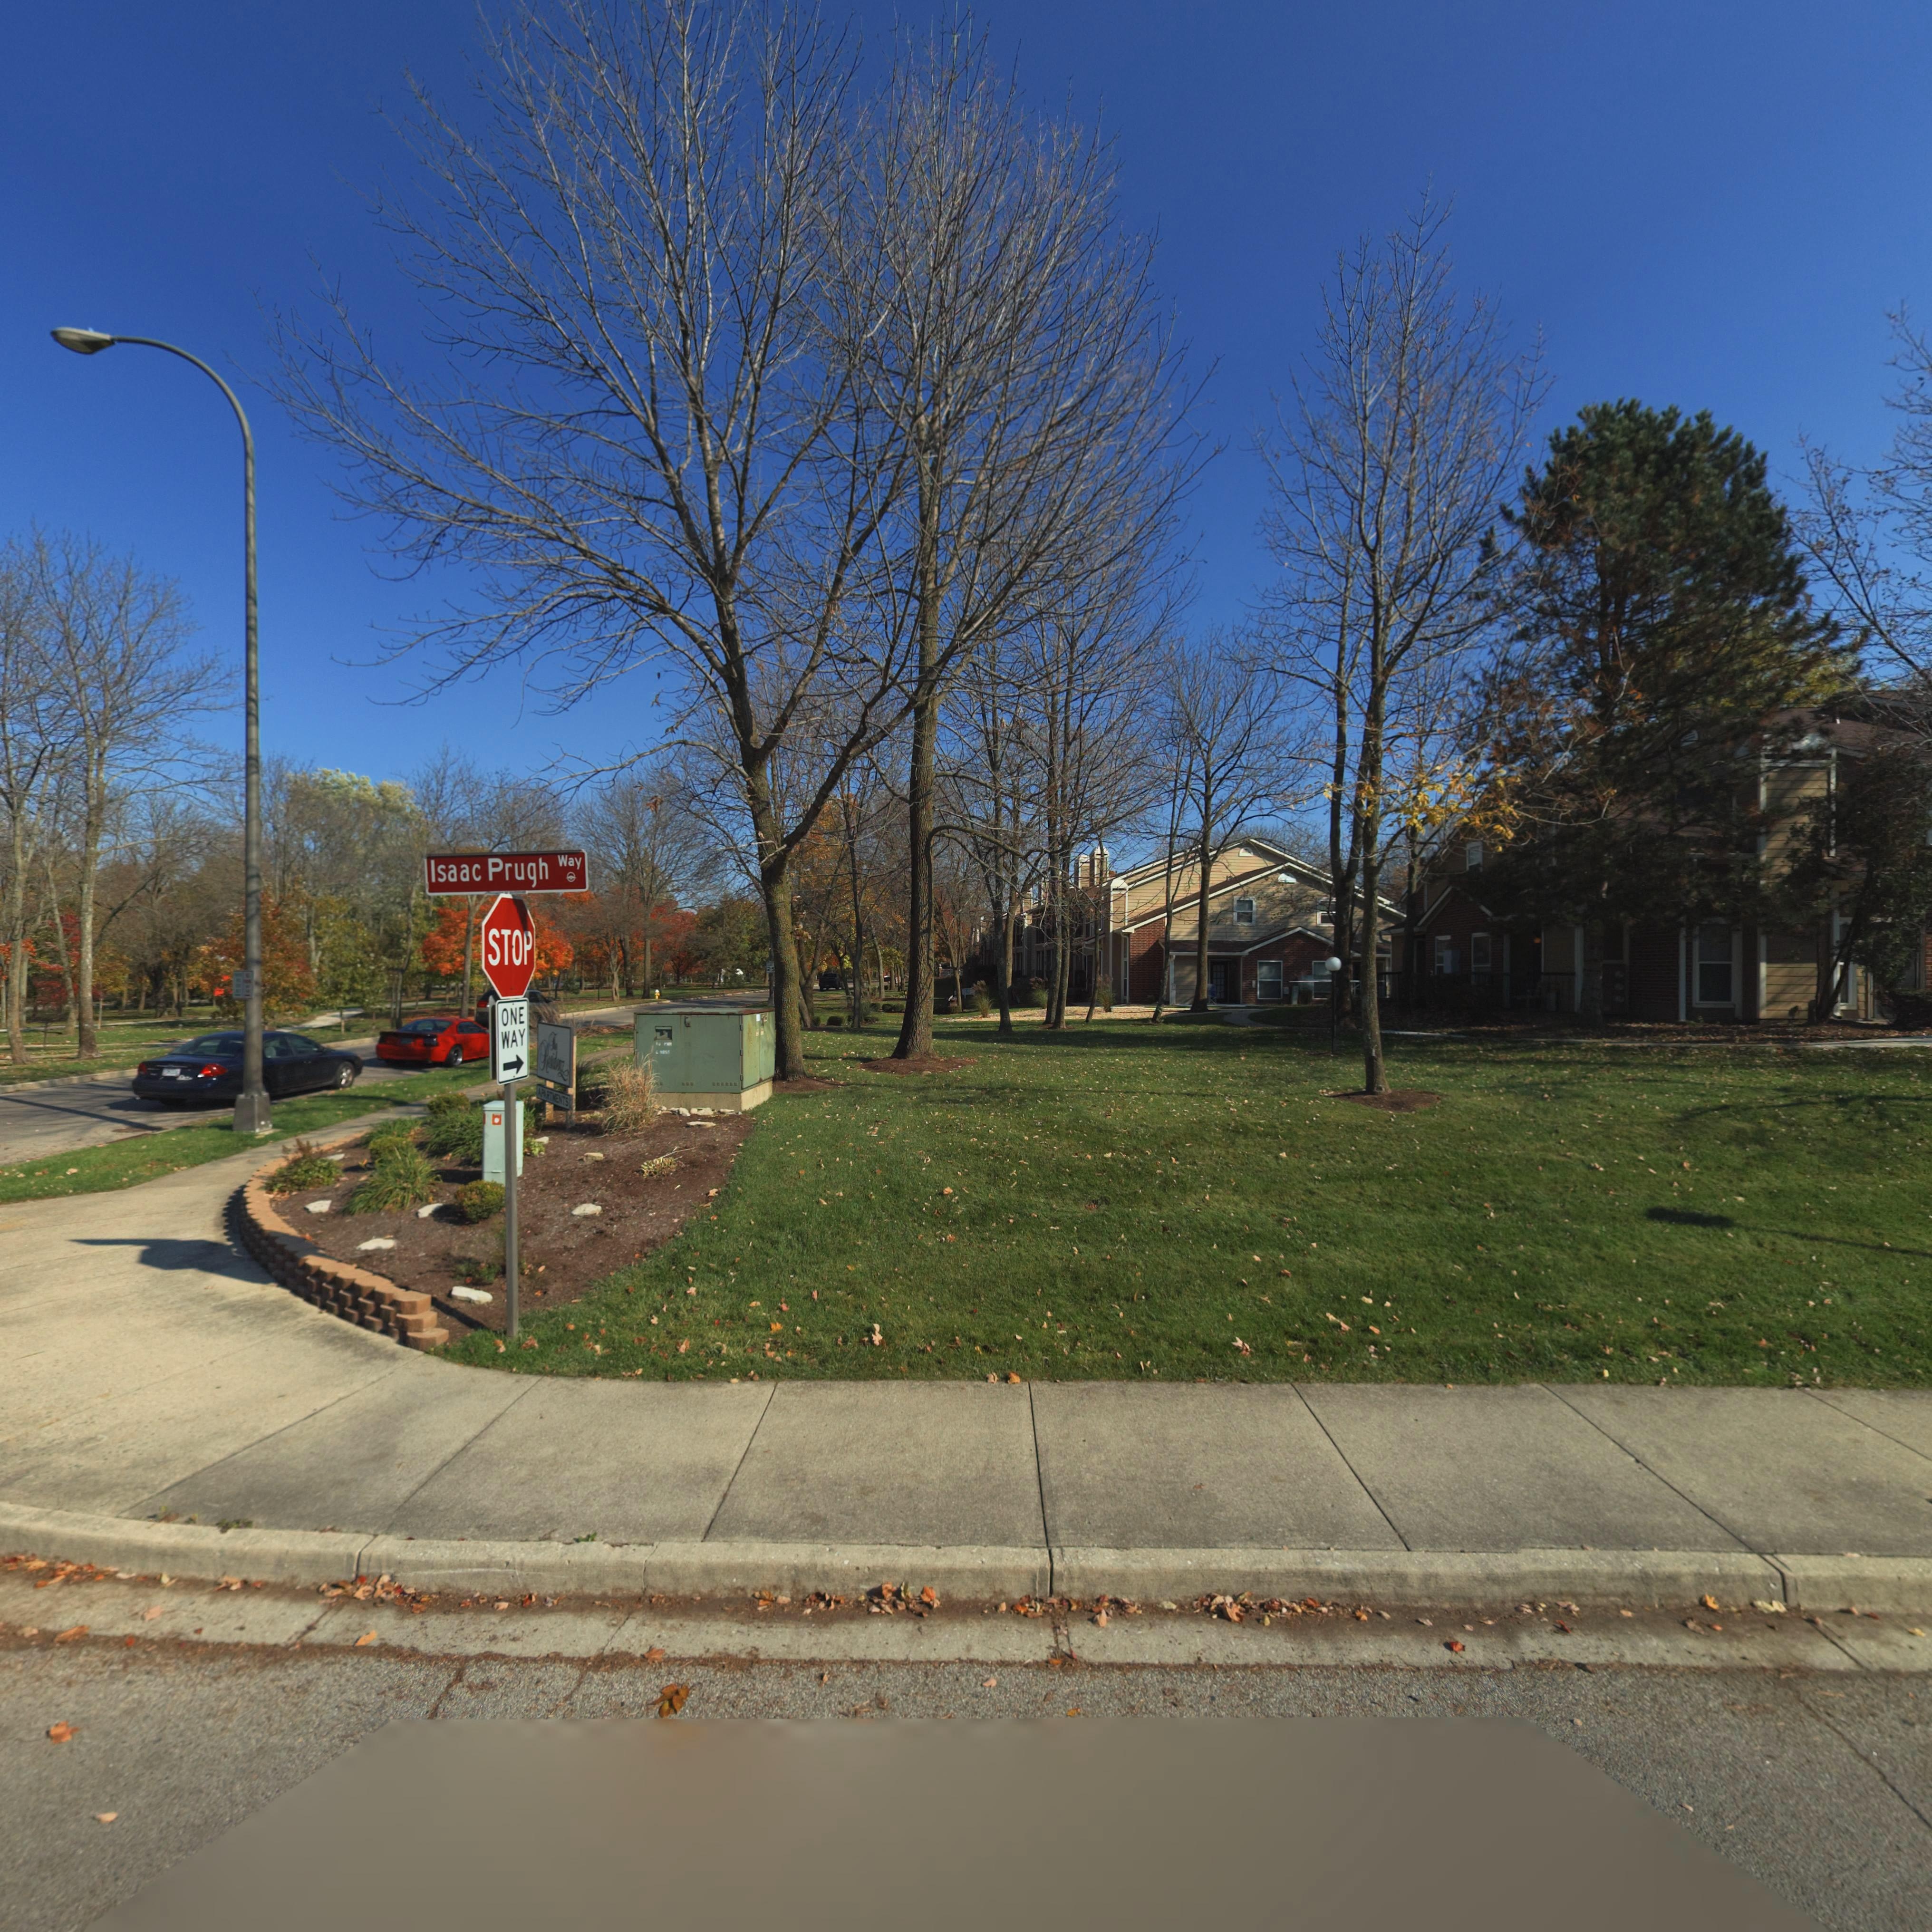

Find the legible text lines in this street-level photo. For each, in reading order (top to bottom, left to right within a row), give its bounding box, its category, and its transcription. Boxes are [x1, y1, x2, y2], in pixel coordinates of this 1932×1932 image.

[430, 854, 583, 889] None: Isaac Prugh Way
[487, 927, 533, 966] None: STOP
[767, 967, 774, 972] None: 25
[501, 1006, 525, 1027] None: ONE
[501, 1028, 526, 1050] None: WAY
[536, 1087, 570, 1108] None: APARTMENTS